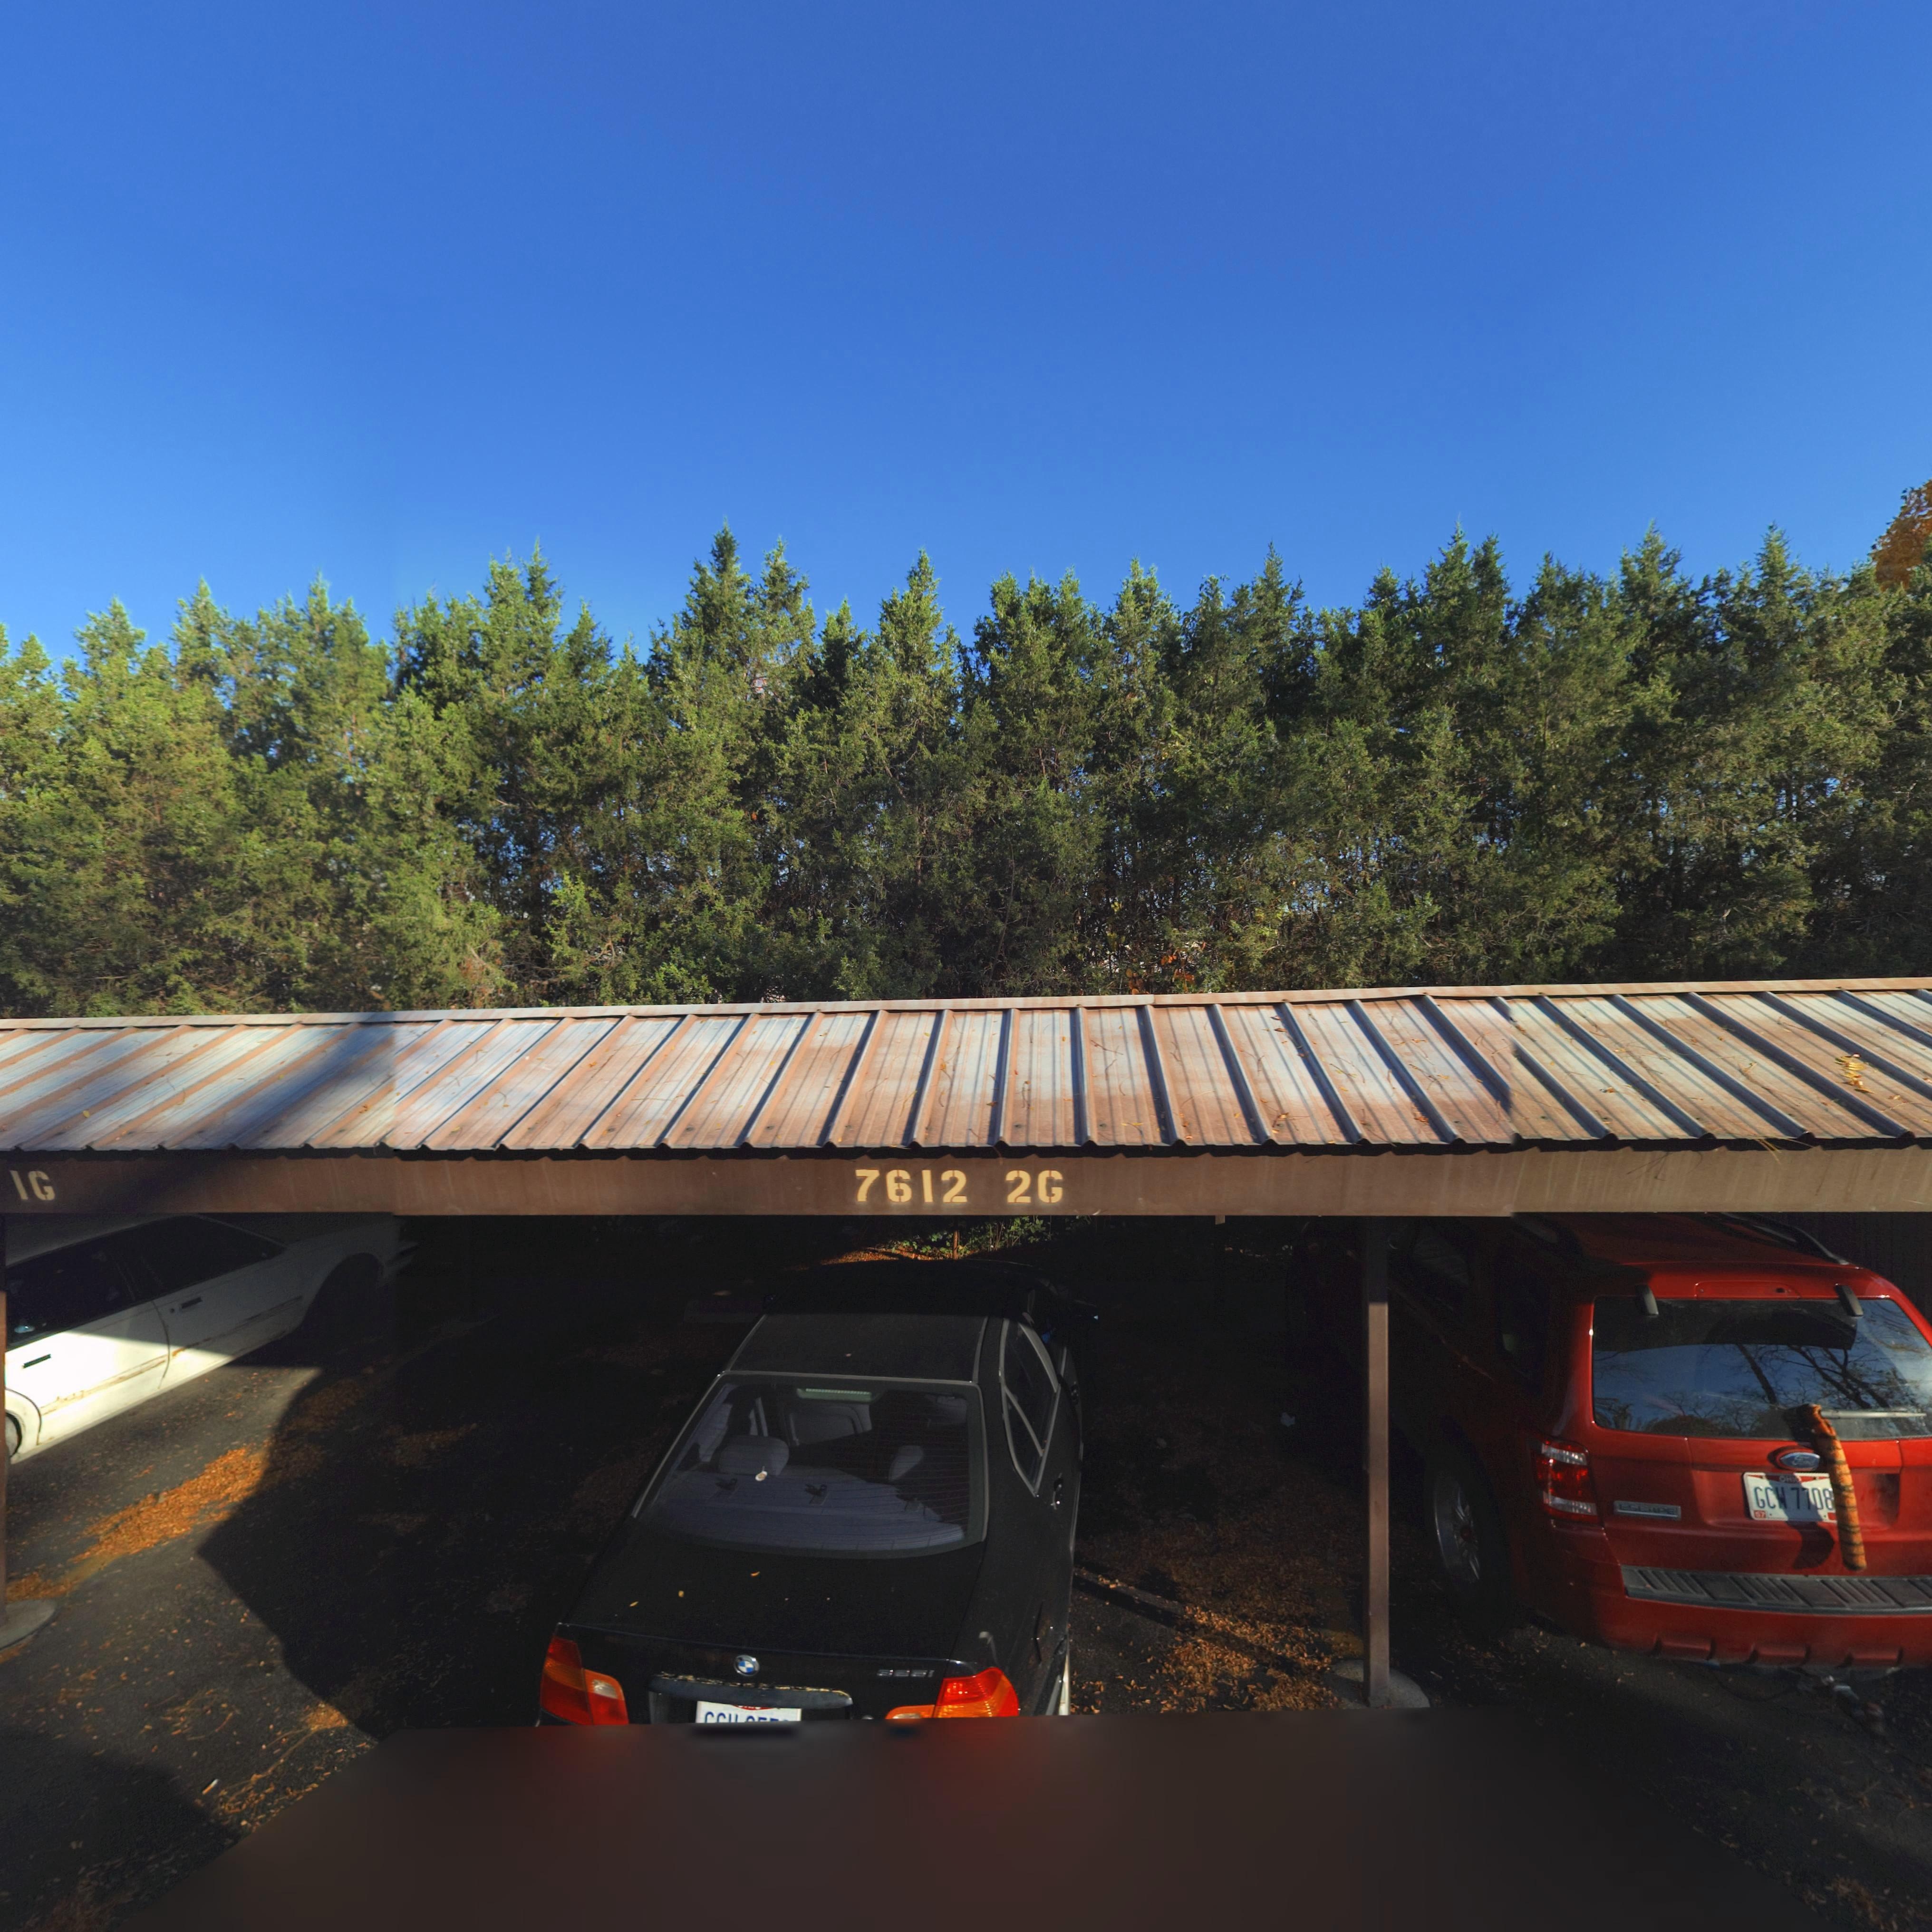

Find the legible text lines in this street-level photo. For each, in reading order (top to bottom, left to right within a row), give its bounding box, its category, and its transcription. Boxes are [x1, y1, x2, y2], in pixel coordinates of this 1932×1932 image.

[7, 1168, 58, 1203] StreetNumber: 1G
[852, 1166, 969, 1205] StreetNumber: 7612
[1003, 1167, 1066, 1206] StreetNumber: 2G